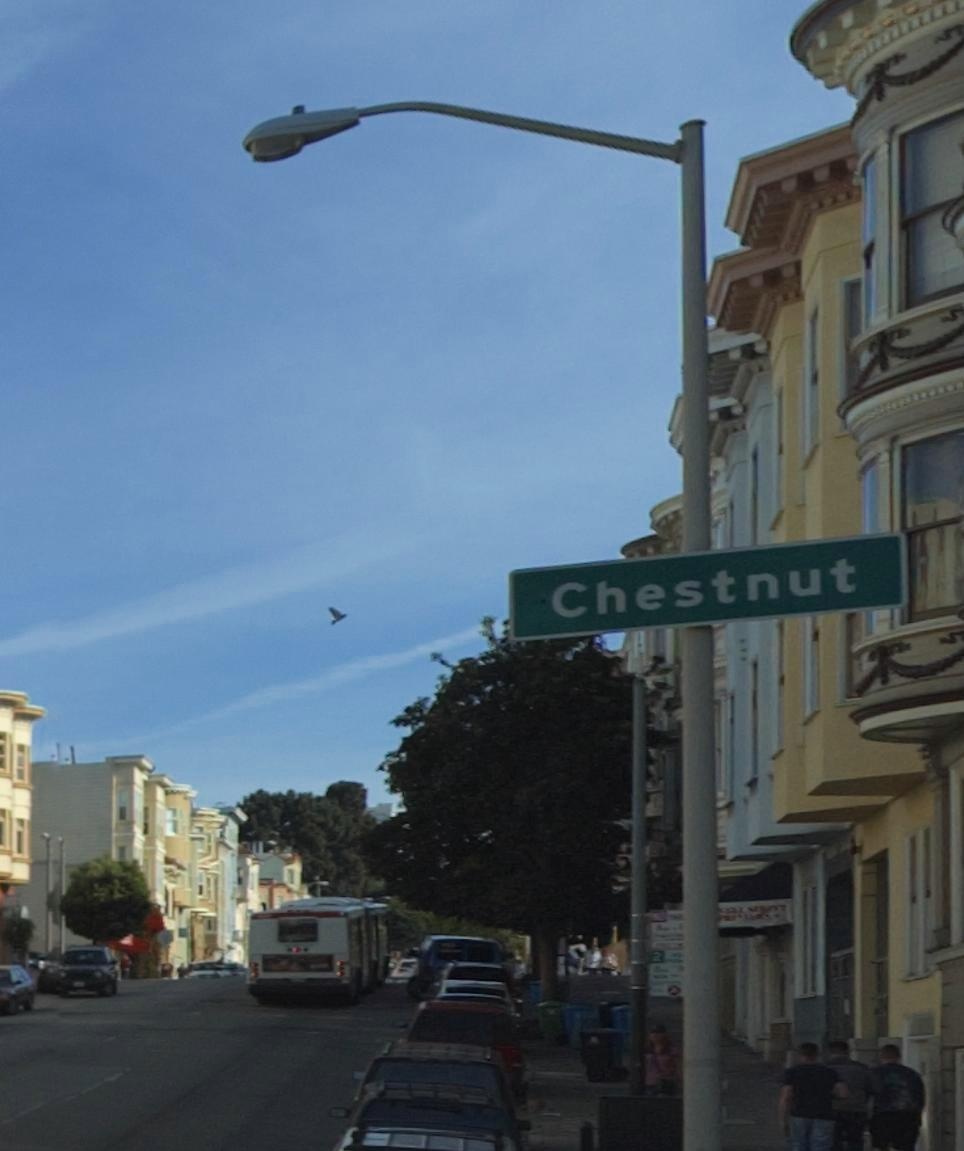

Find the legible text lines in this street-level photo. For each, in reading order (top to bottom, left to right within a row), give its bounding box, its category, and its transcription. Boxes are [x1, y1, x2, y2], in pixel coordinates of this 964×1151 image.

[547, 553, 862, 624] StreetName: Chestnut